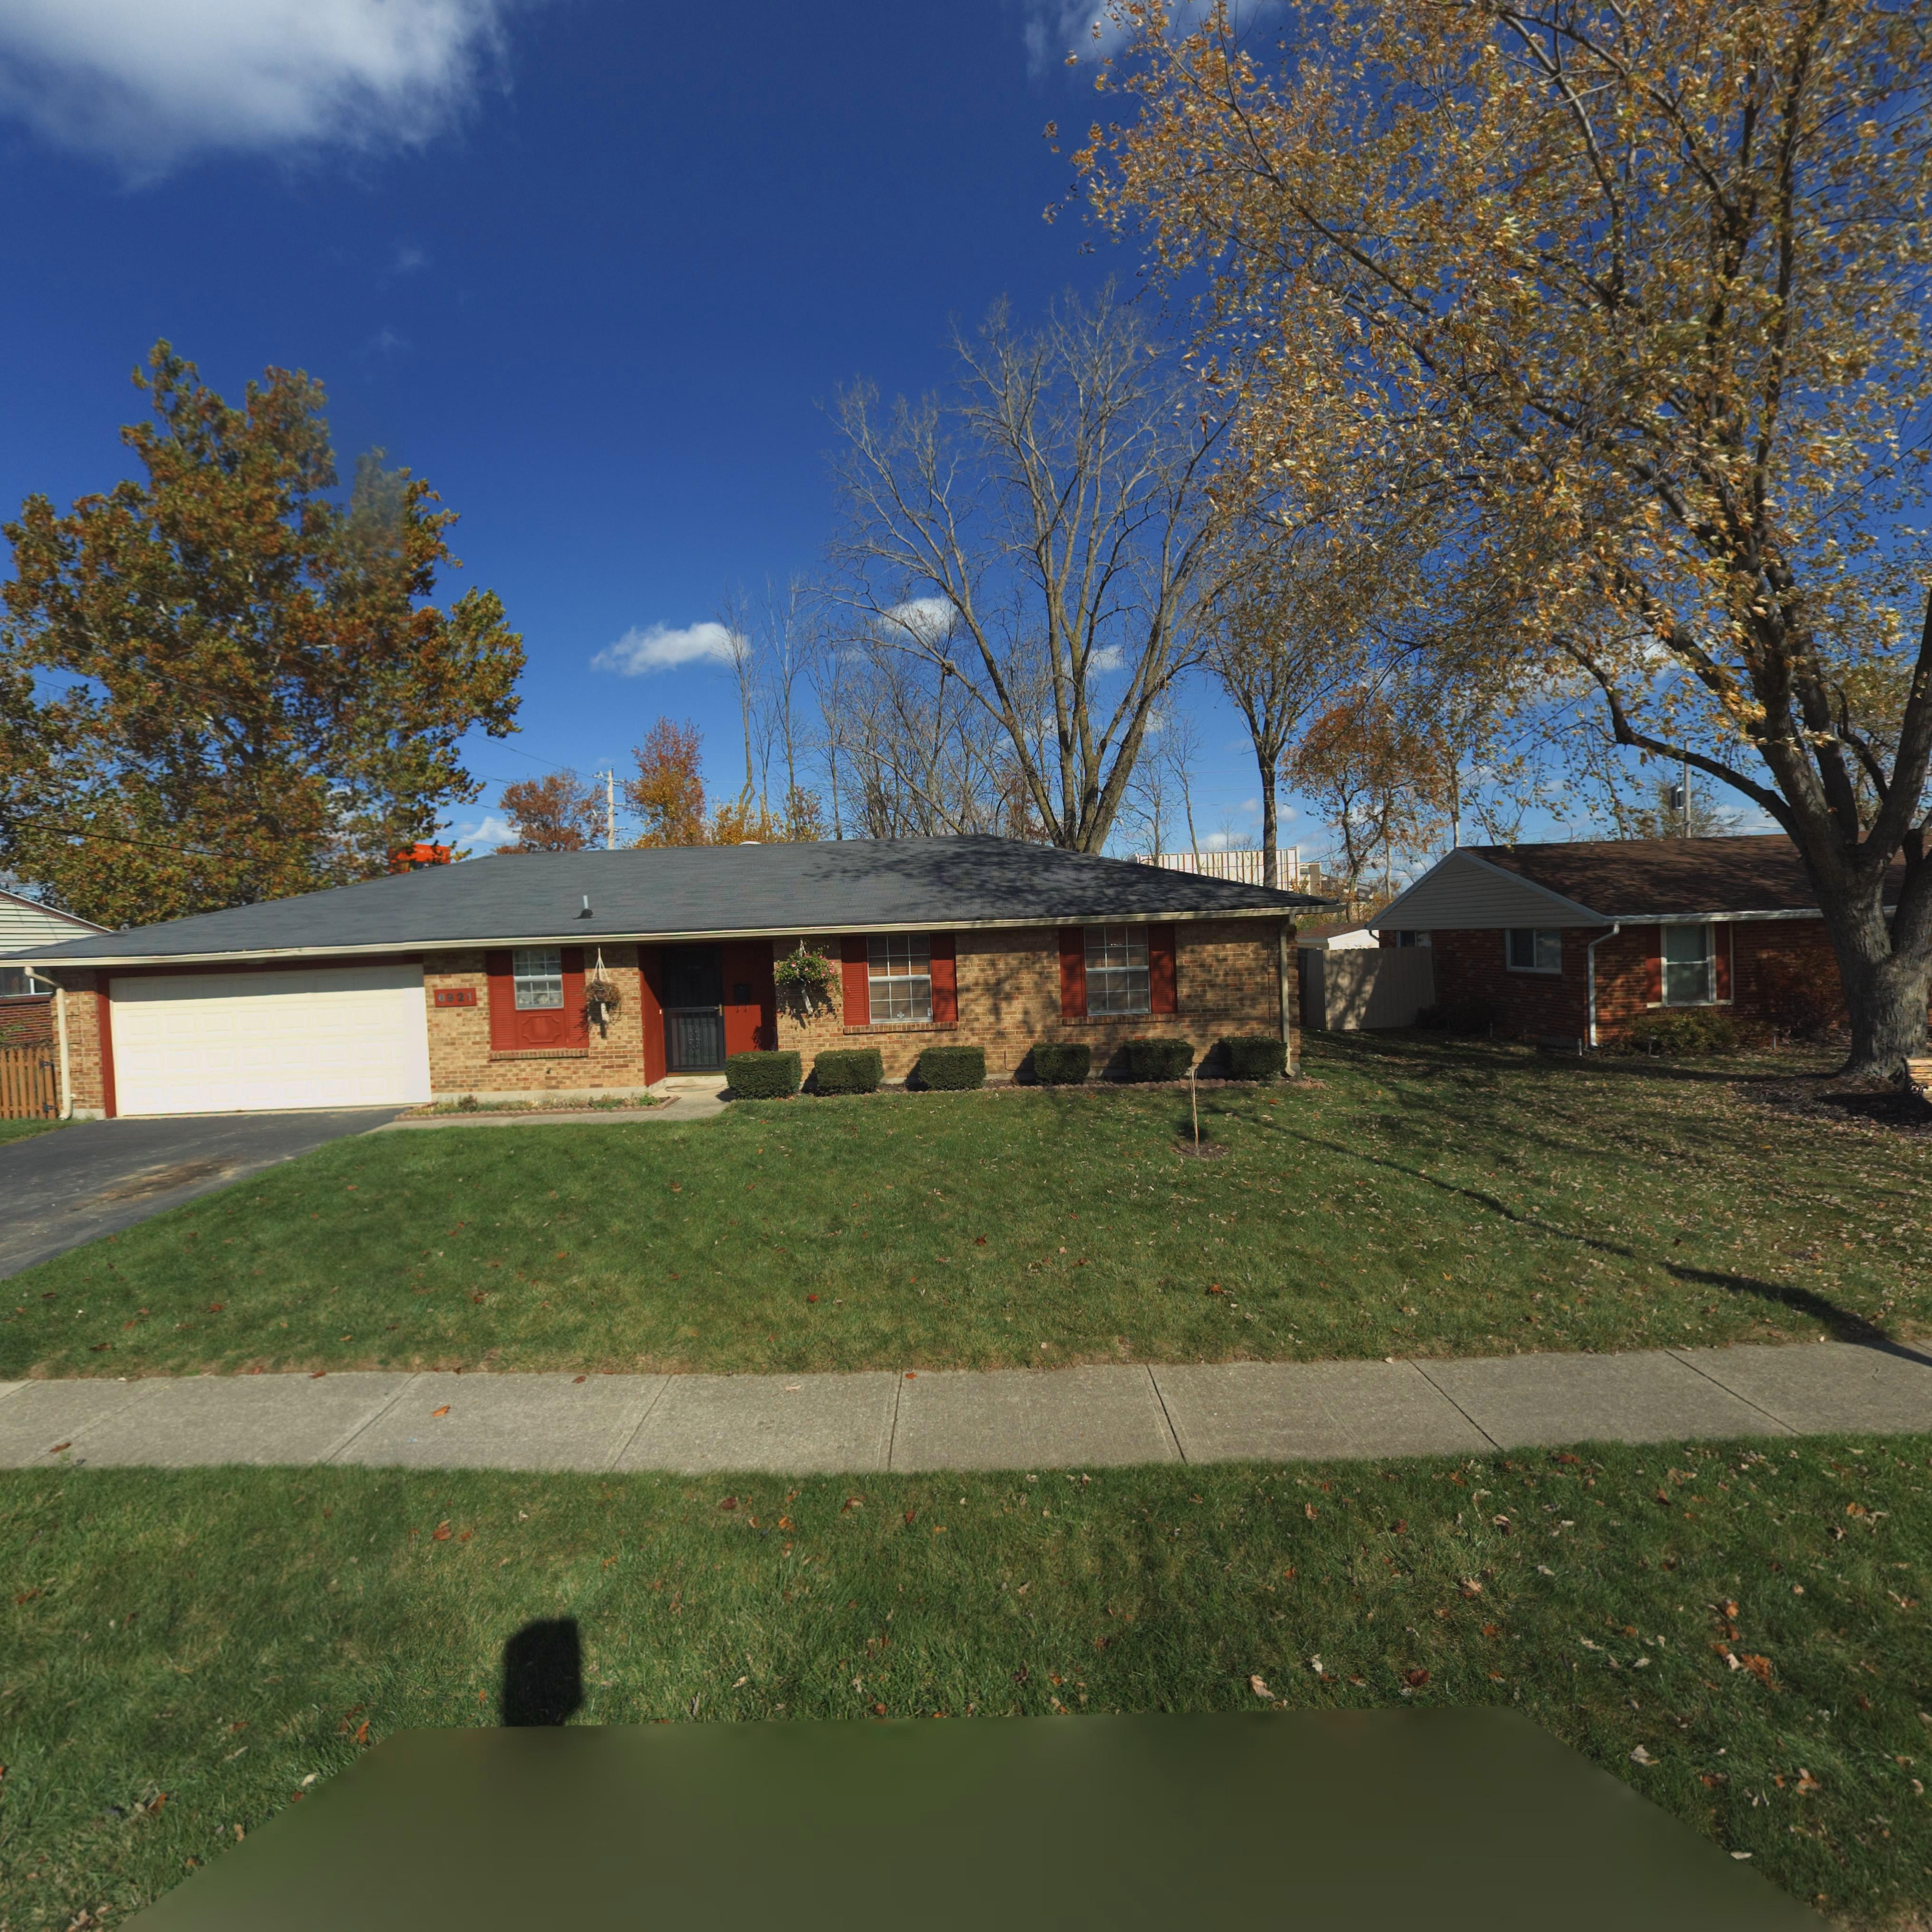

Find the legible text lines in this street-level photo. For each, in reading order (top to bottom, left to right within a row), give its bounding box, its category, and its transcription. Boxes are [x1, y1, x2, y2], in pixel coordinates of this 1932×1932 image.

[437, 990, 473, 1004] StreetNumber: 6921